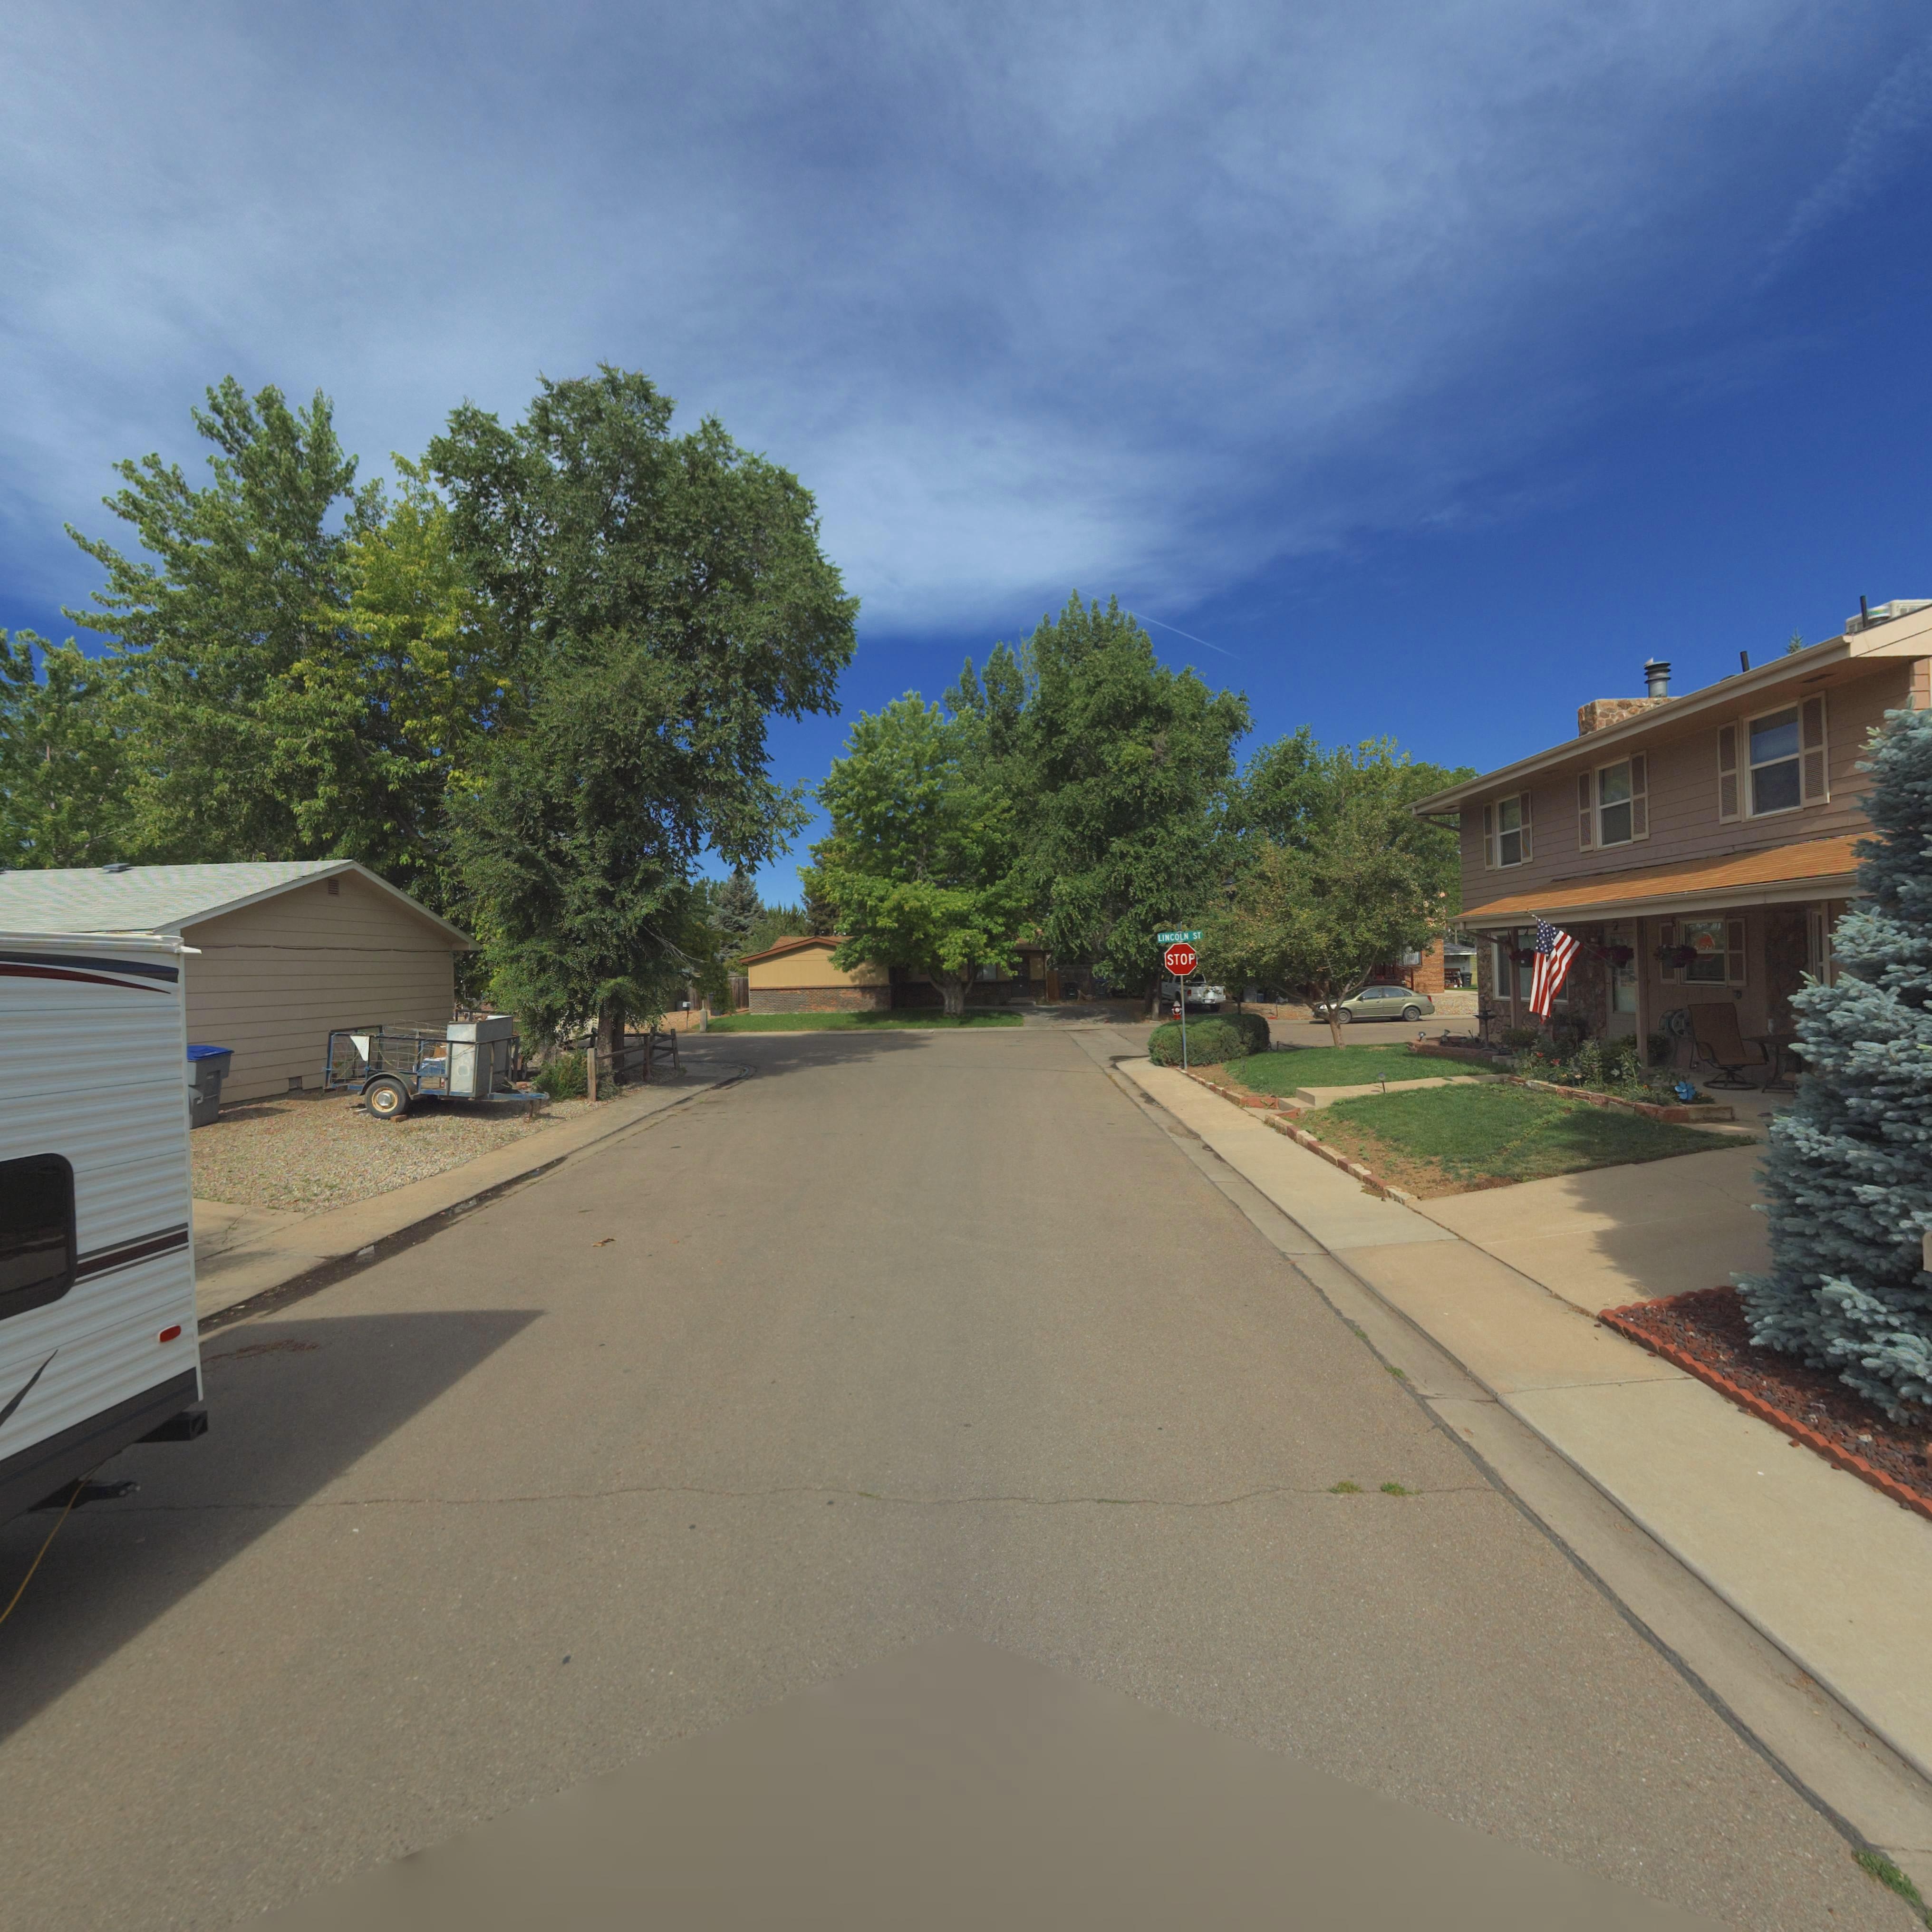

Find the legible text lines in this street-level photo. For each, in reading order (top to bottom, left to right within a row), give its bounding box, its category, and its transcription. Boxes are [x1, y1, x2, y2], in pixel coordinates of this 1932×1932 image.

[1158, 931, 1201, 941] StreetName: LINCOLN ST